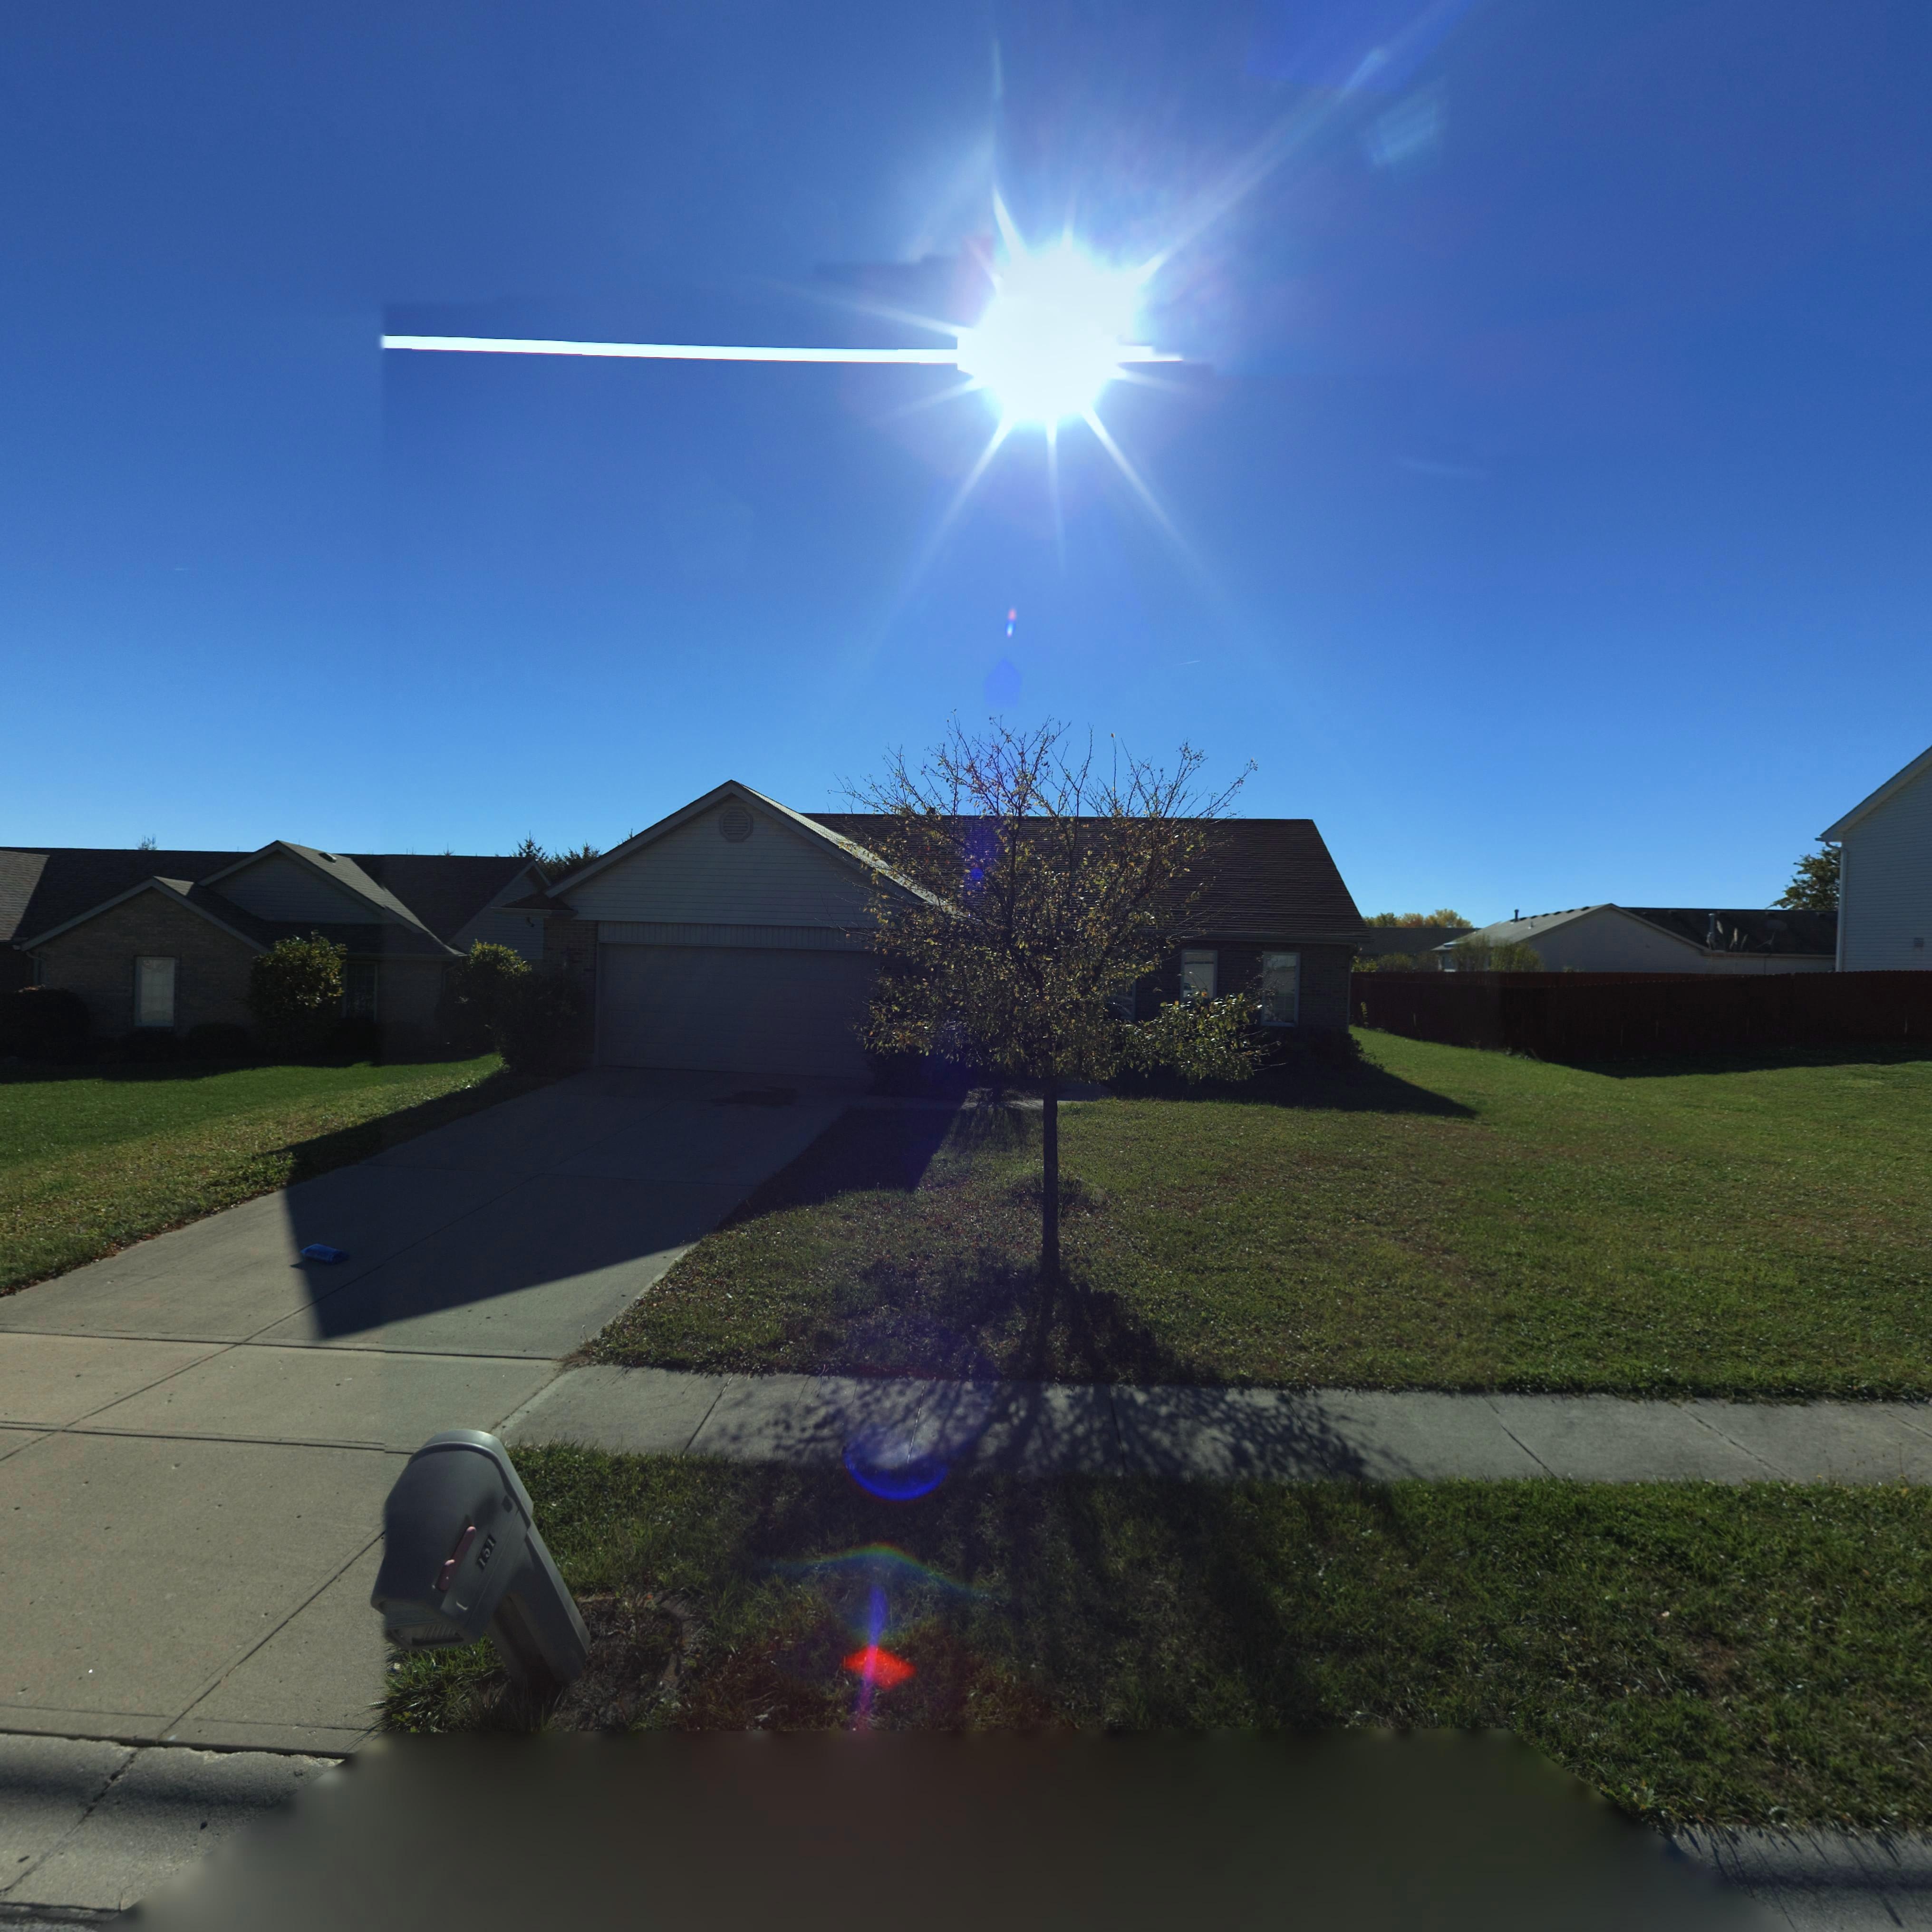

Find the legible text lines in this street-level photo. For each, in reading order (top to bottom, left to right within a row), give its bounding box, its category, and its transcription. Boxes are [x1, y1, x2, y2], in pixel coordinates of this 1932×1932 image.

[476, 1536, 496, 1569] StreetNumber: 151